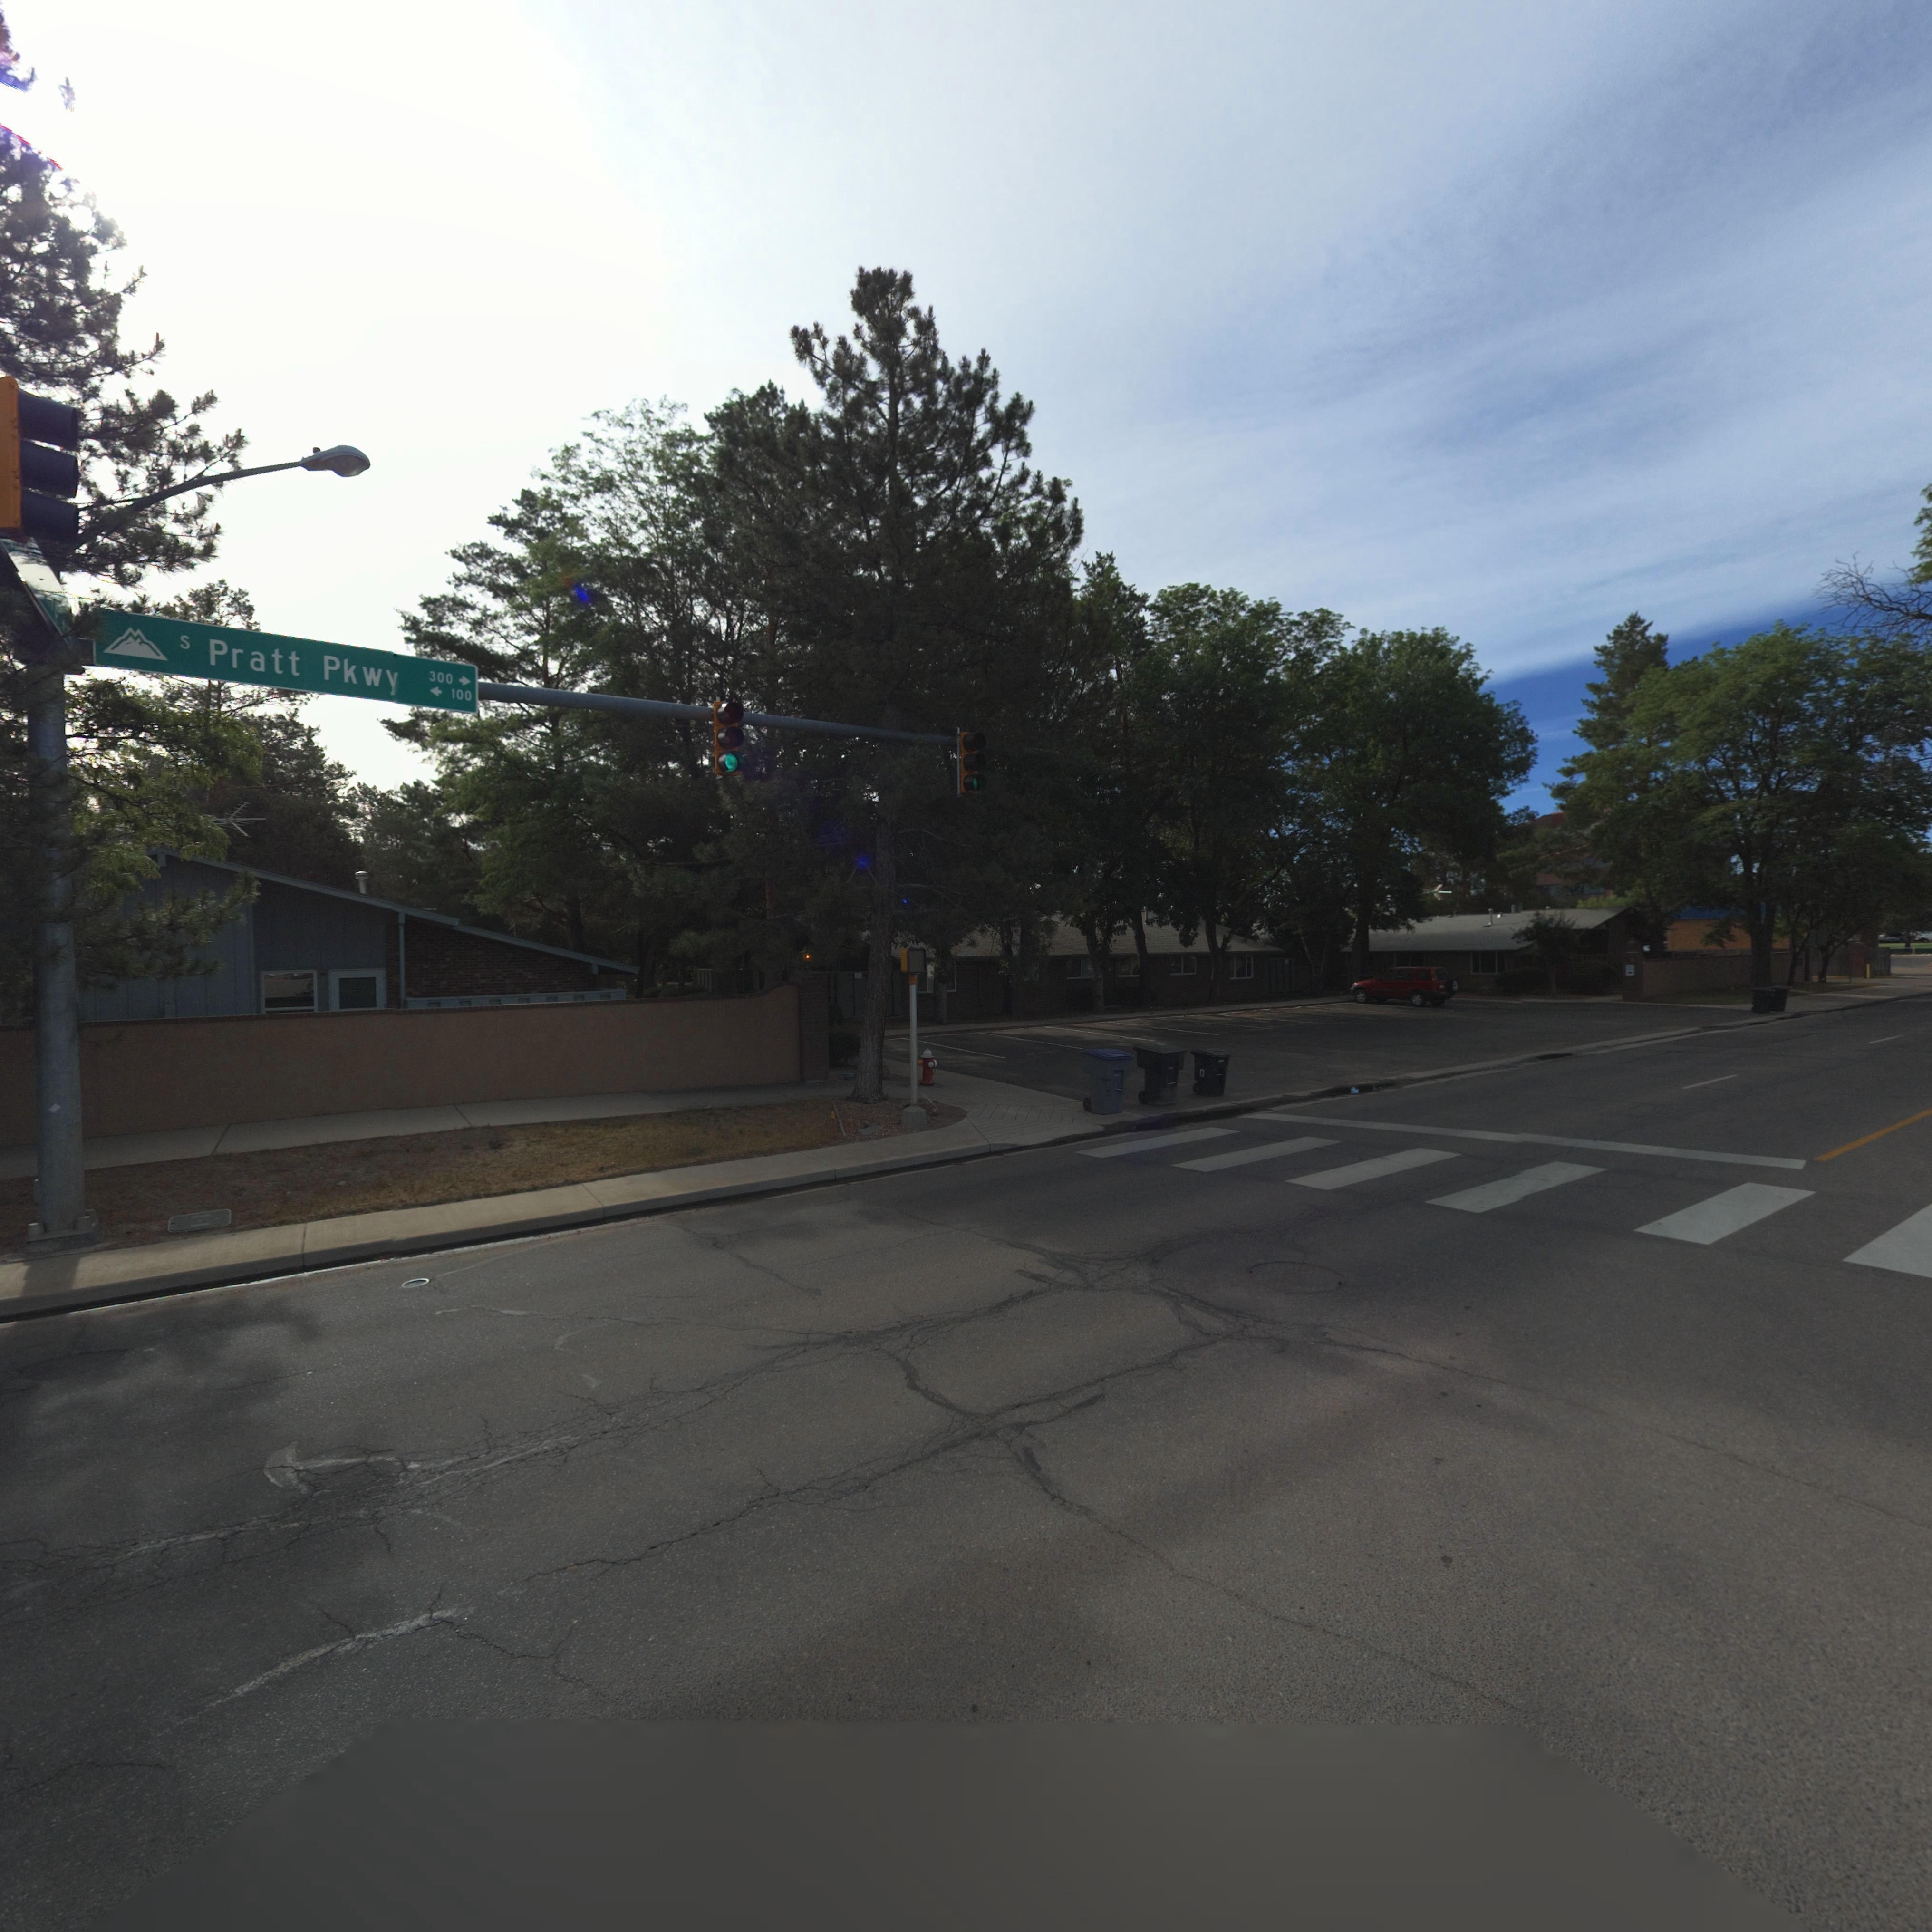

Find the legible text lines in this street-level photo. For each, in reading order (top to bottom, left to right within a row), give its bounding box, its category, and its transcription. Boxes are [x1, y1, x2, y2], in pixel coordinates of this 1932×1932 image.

[180, 634, 399, 696] StreetName: s Pratt Pkw*
[429, 670, 473, 686] StreetNumberRange: 300->
[429, 686, 472, 701] StreetNumberRange: <-100